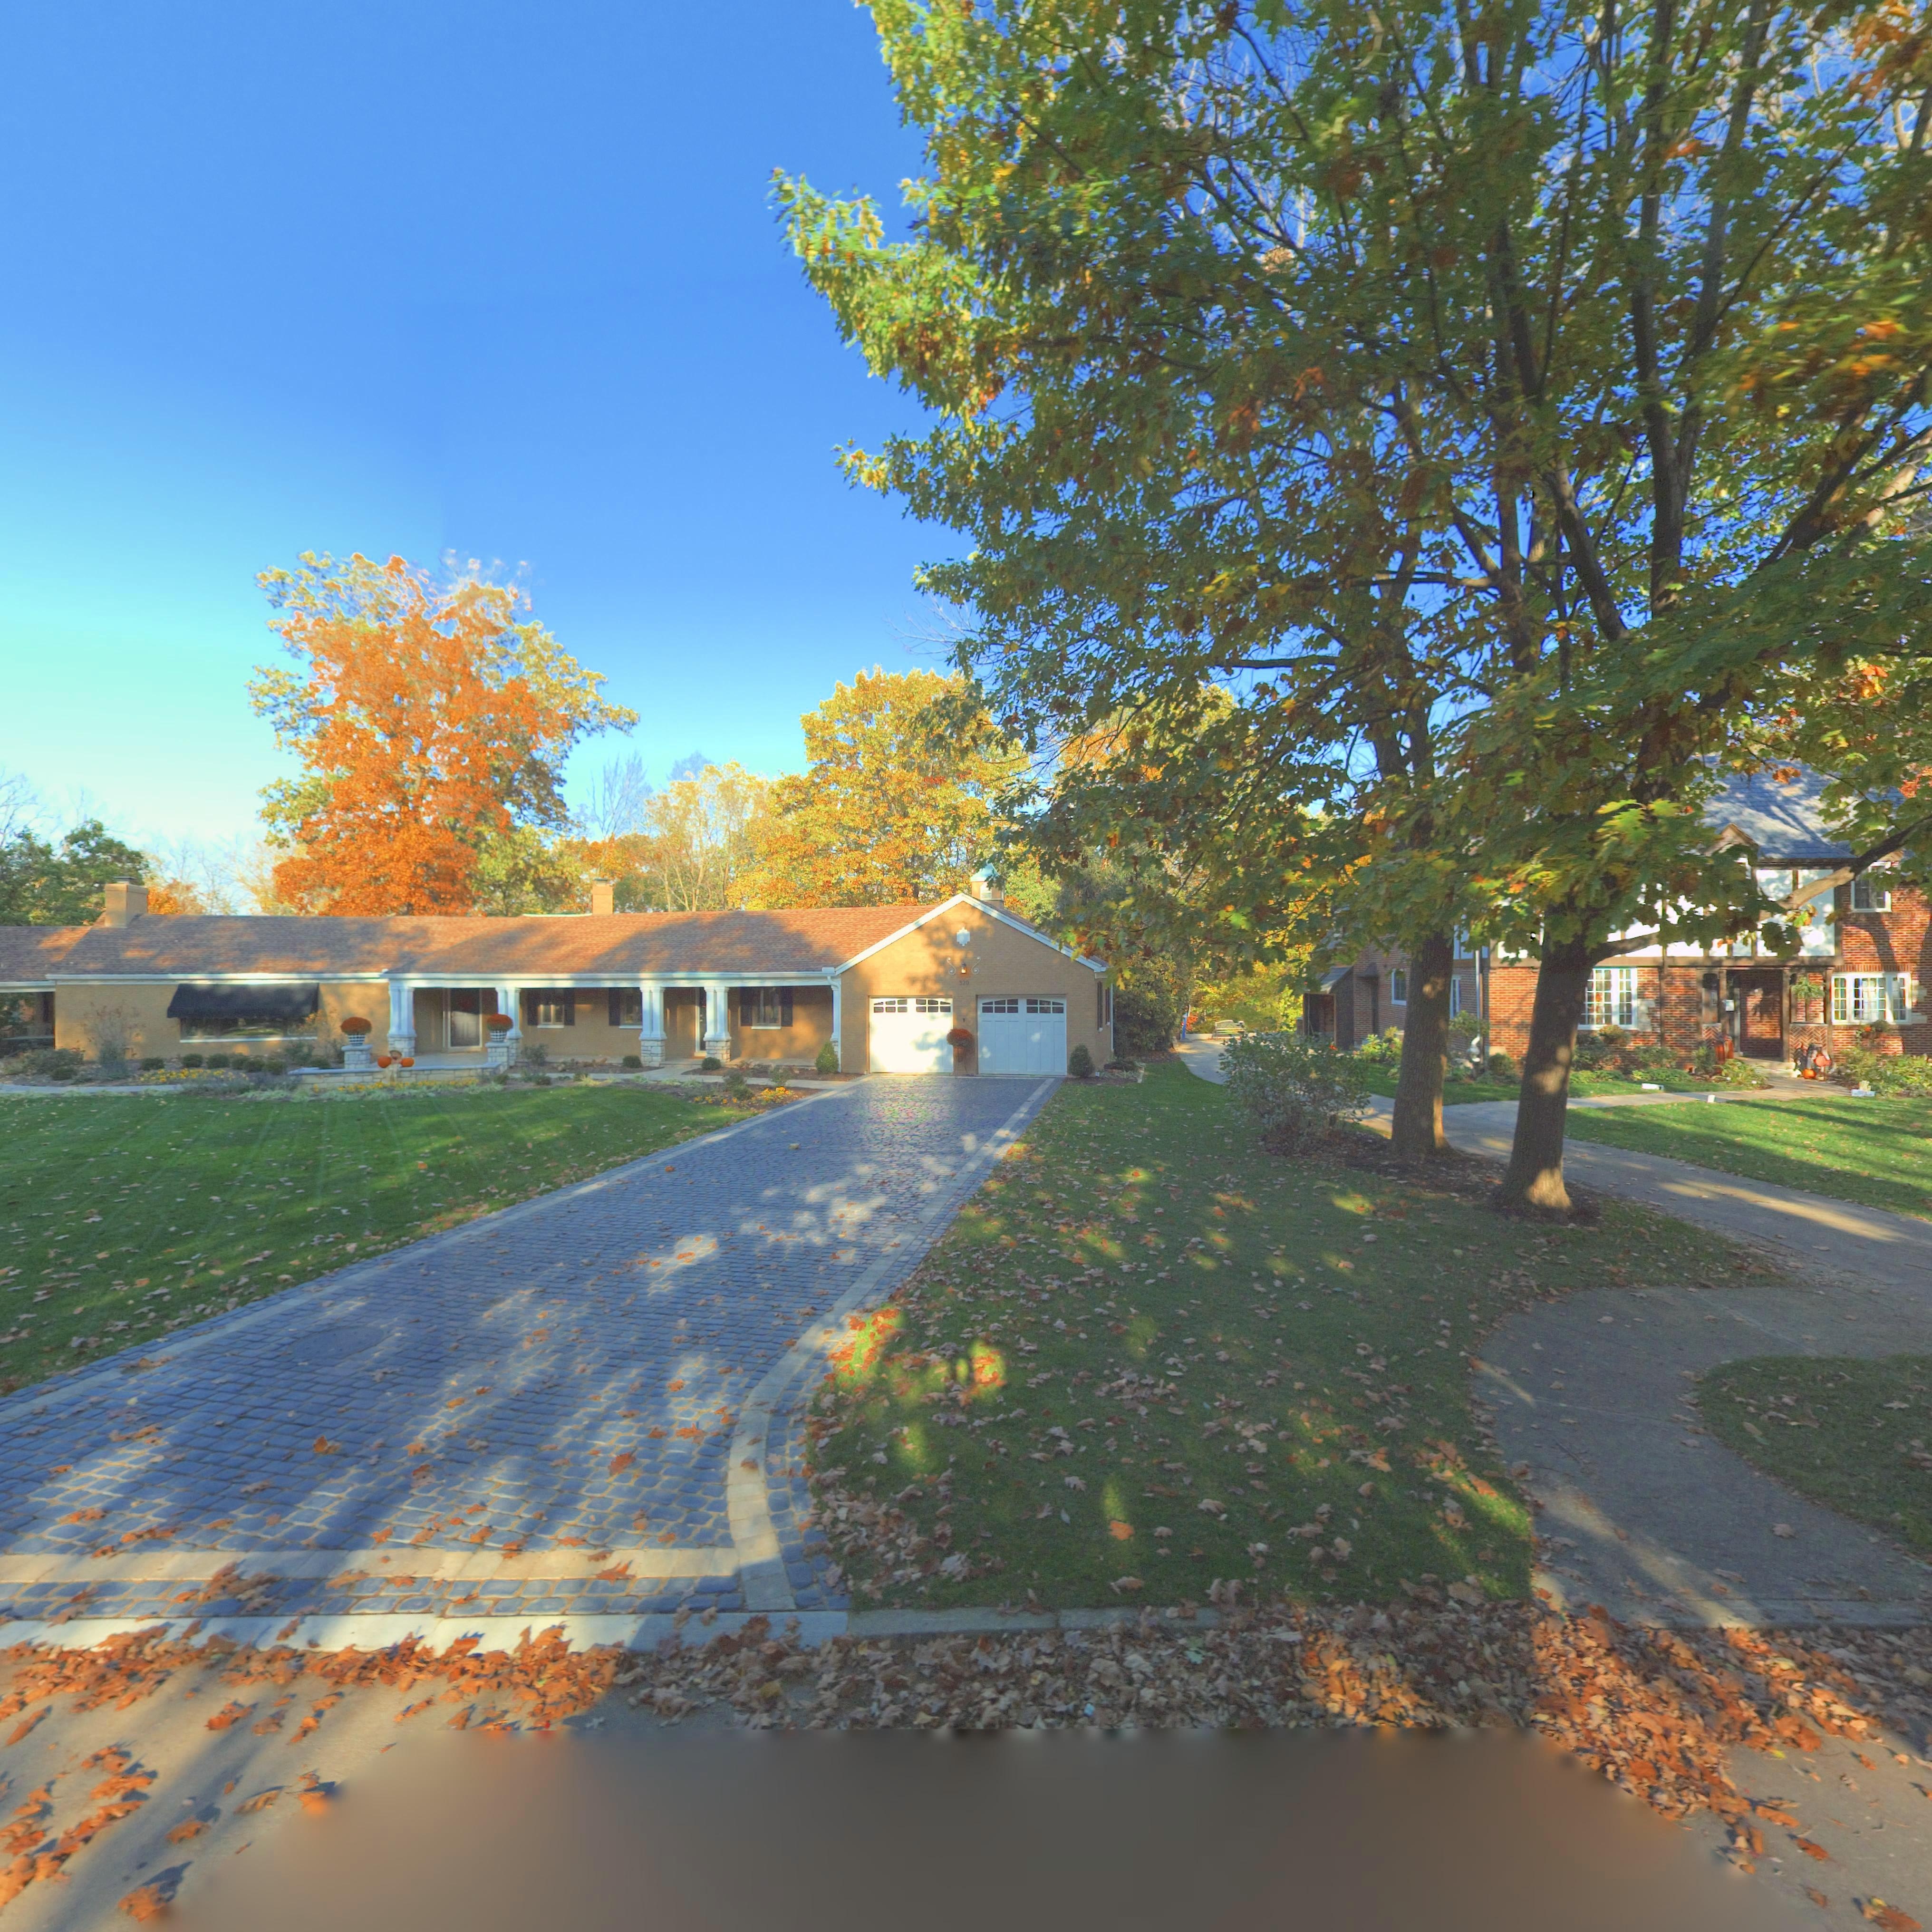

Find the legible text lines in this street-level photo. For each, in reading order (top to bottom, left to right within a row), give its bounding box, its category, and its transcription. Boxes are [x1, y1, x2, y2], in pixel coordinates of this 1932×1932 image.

[958, 979, 970, 986] StreetNumber: 320